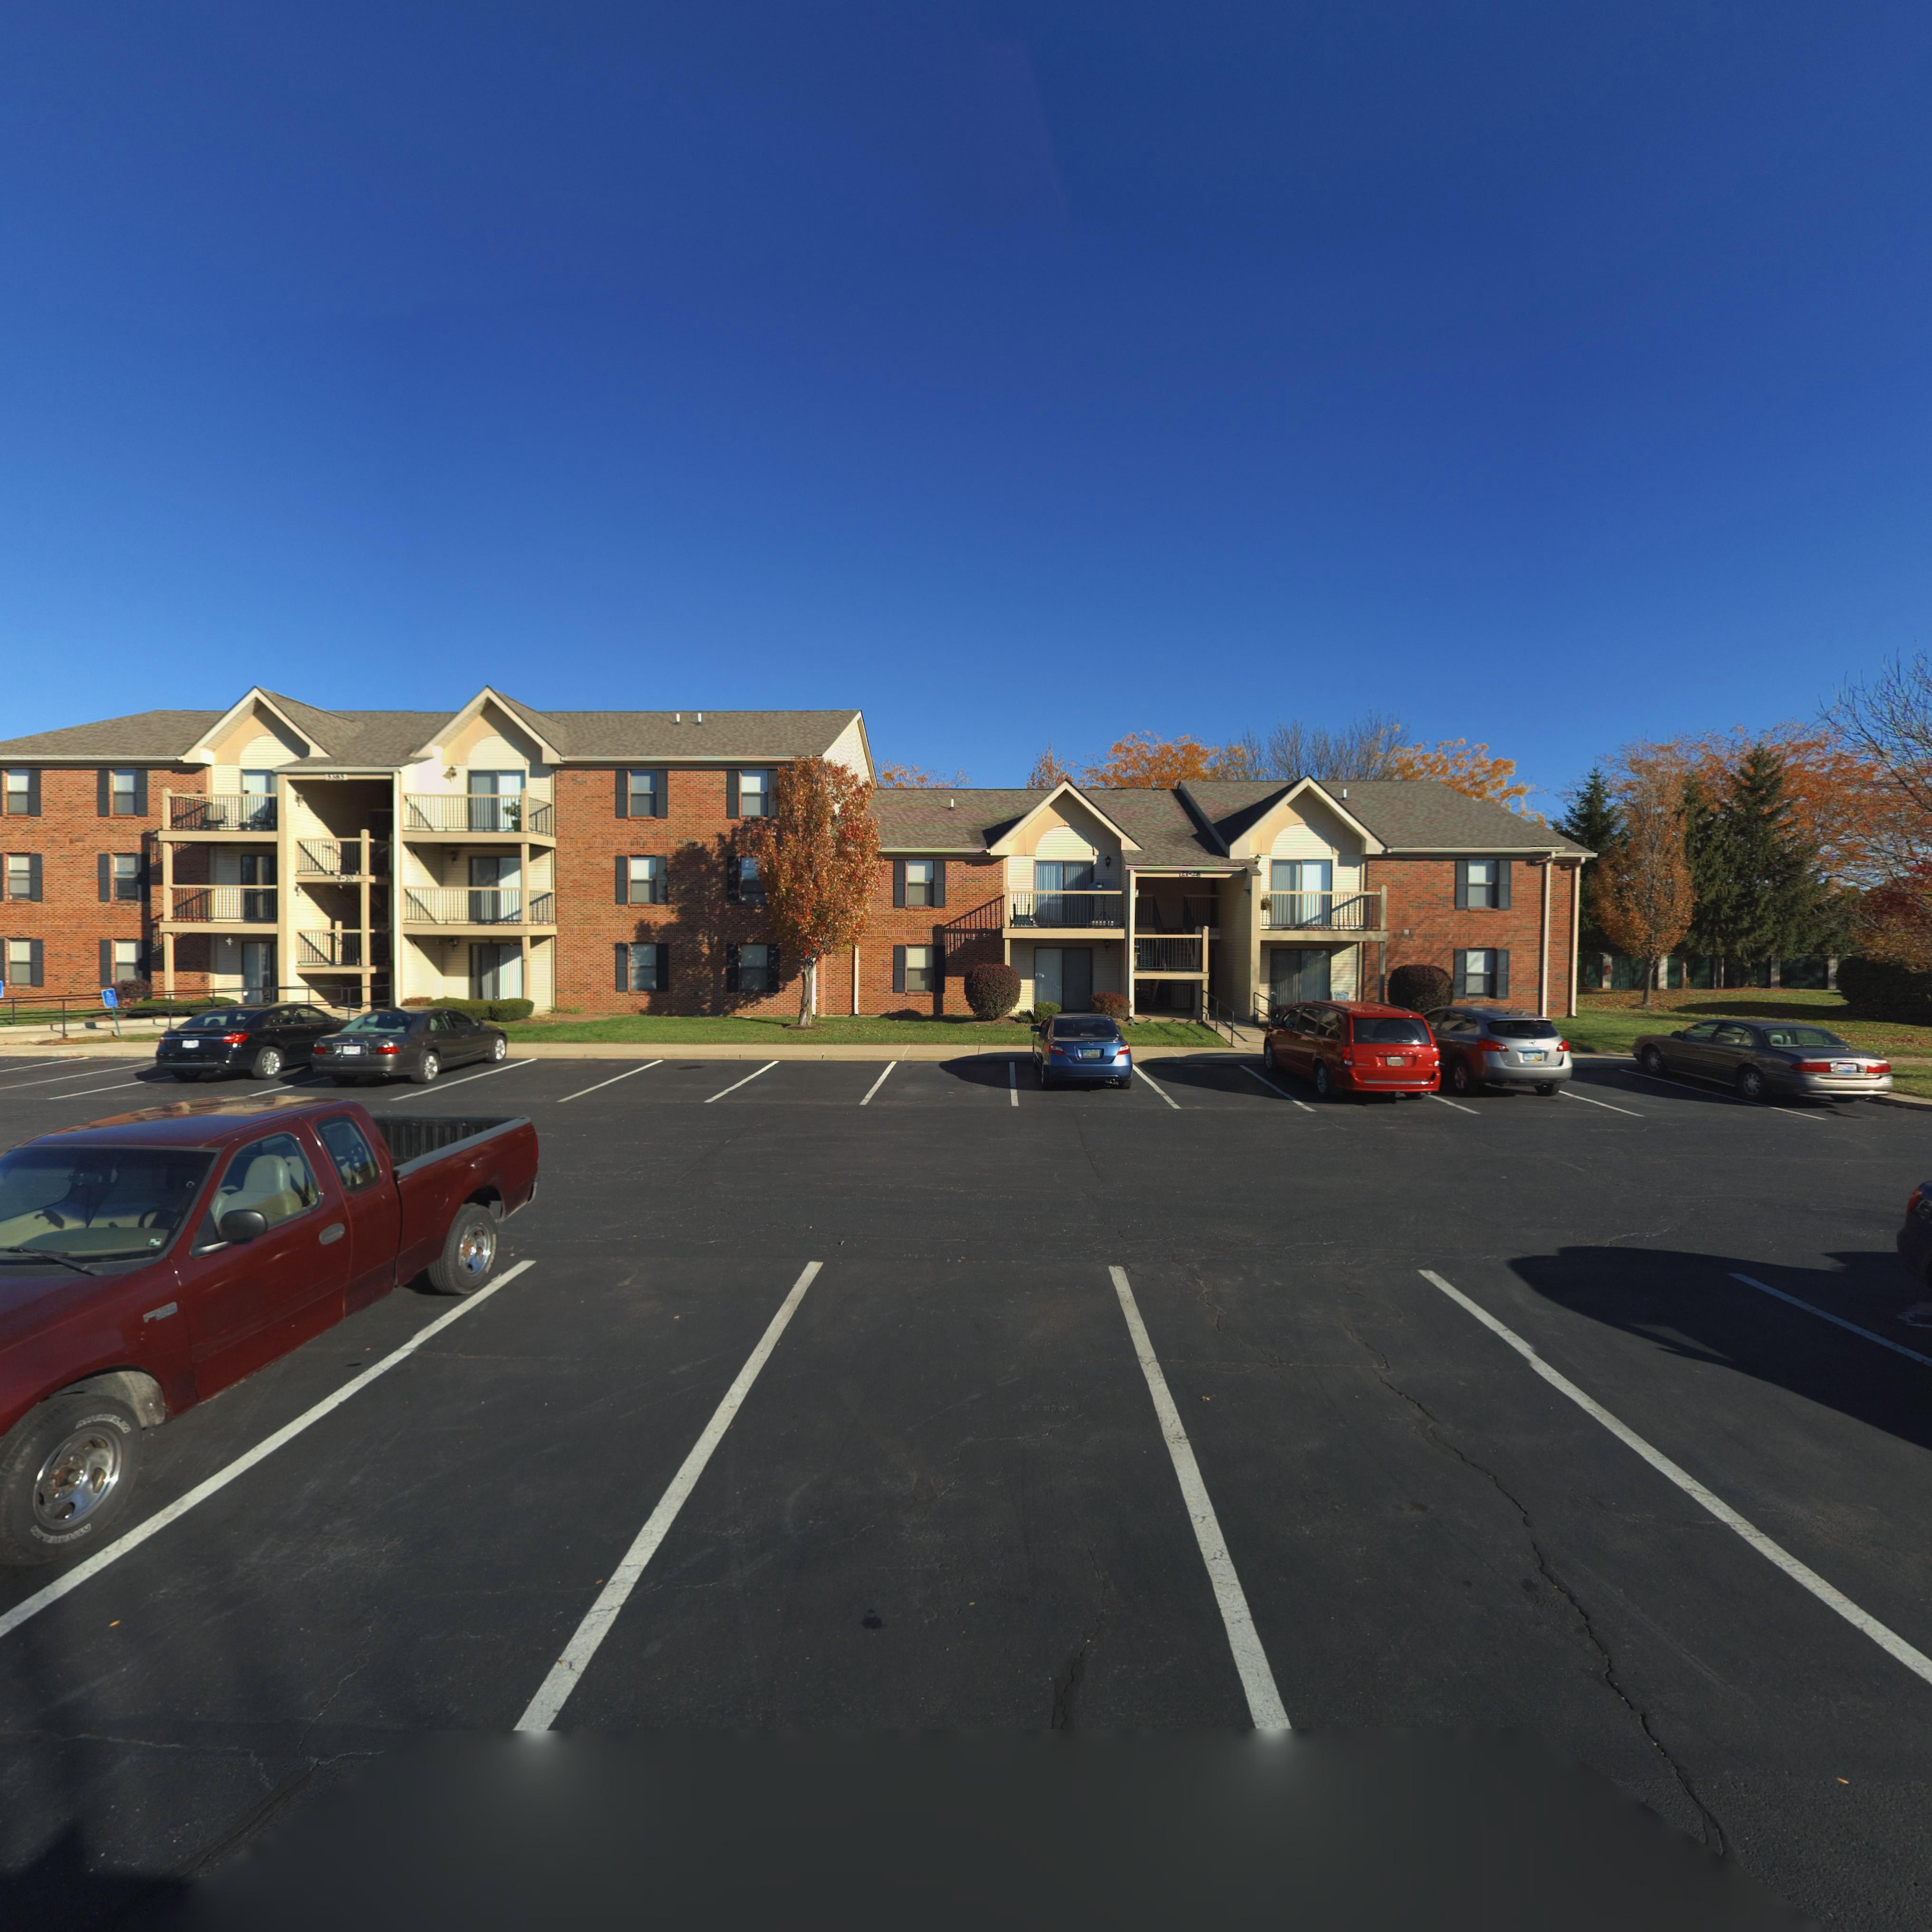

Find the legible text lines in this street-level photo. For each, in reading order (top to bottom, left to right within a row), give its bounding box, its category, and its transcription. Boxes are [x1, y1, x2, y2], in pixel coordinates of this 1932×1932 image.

[326, 772, 344, 780] StreetNumber: 5385
[1180, 870, 1200, 877] StreetNumber: 21-28
[334, 874, 353, 883] StreetNumber: 9-20